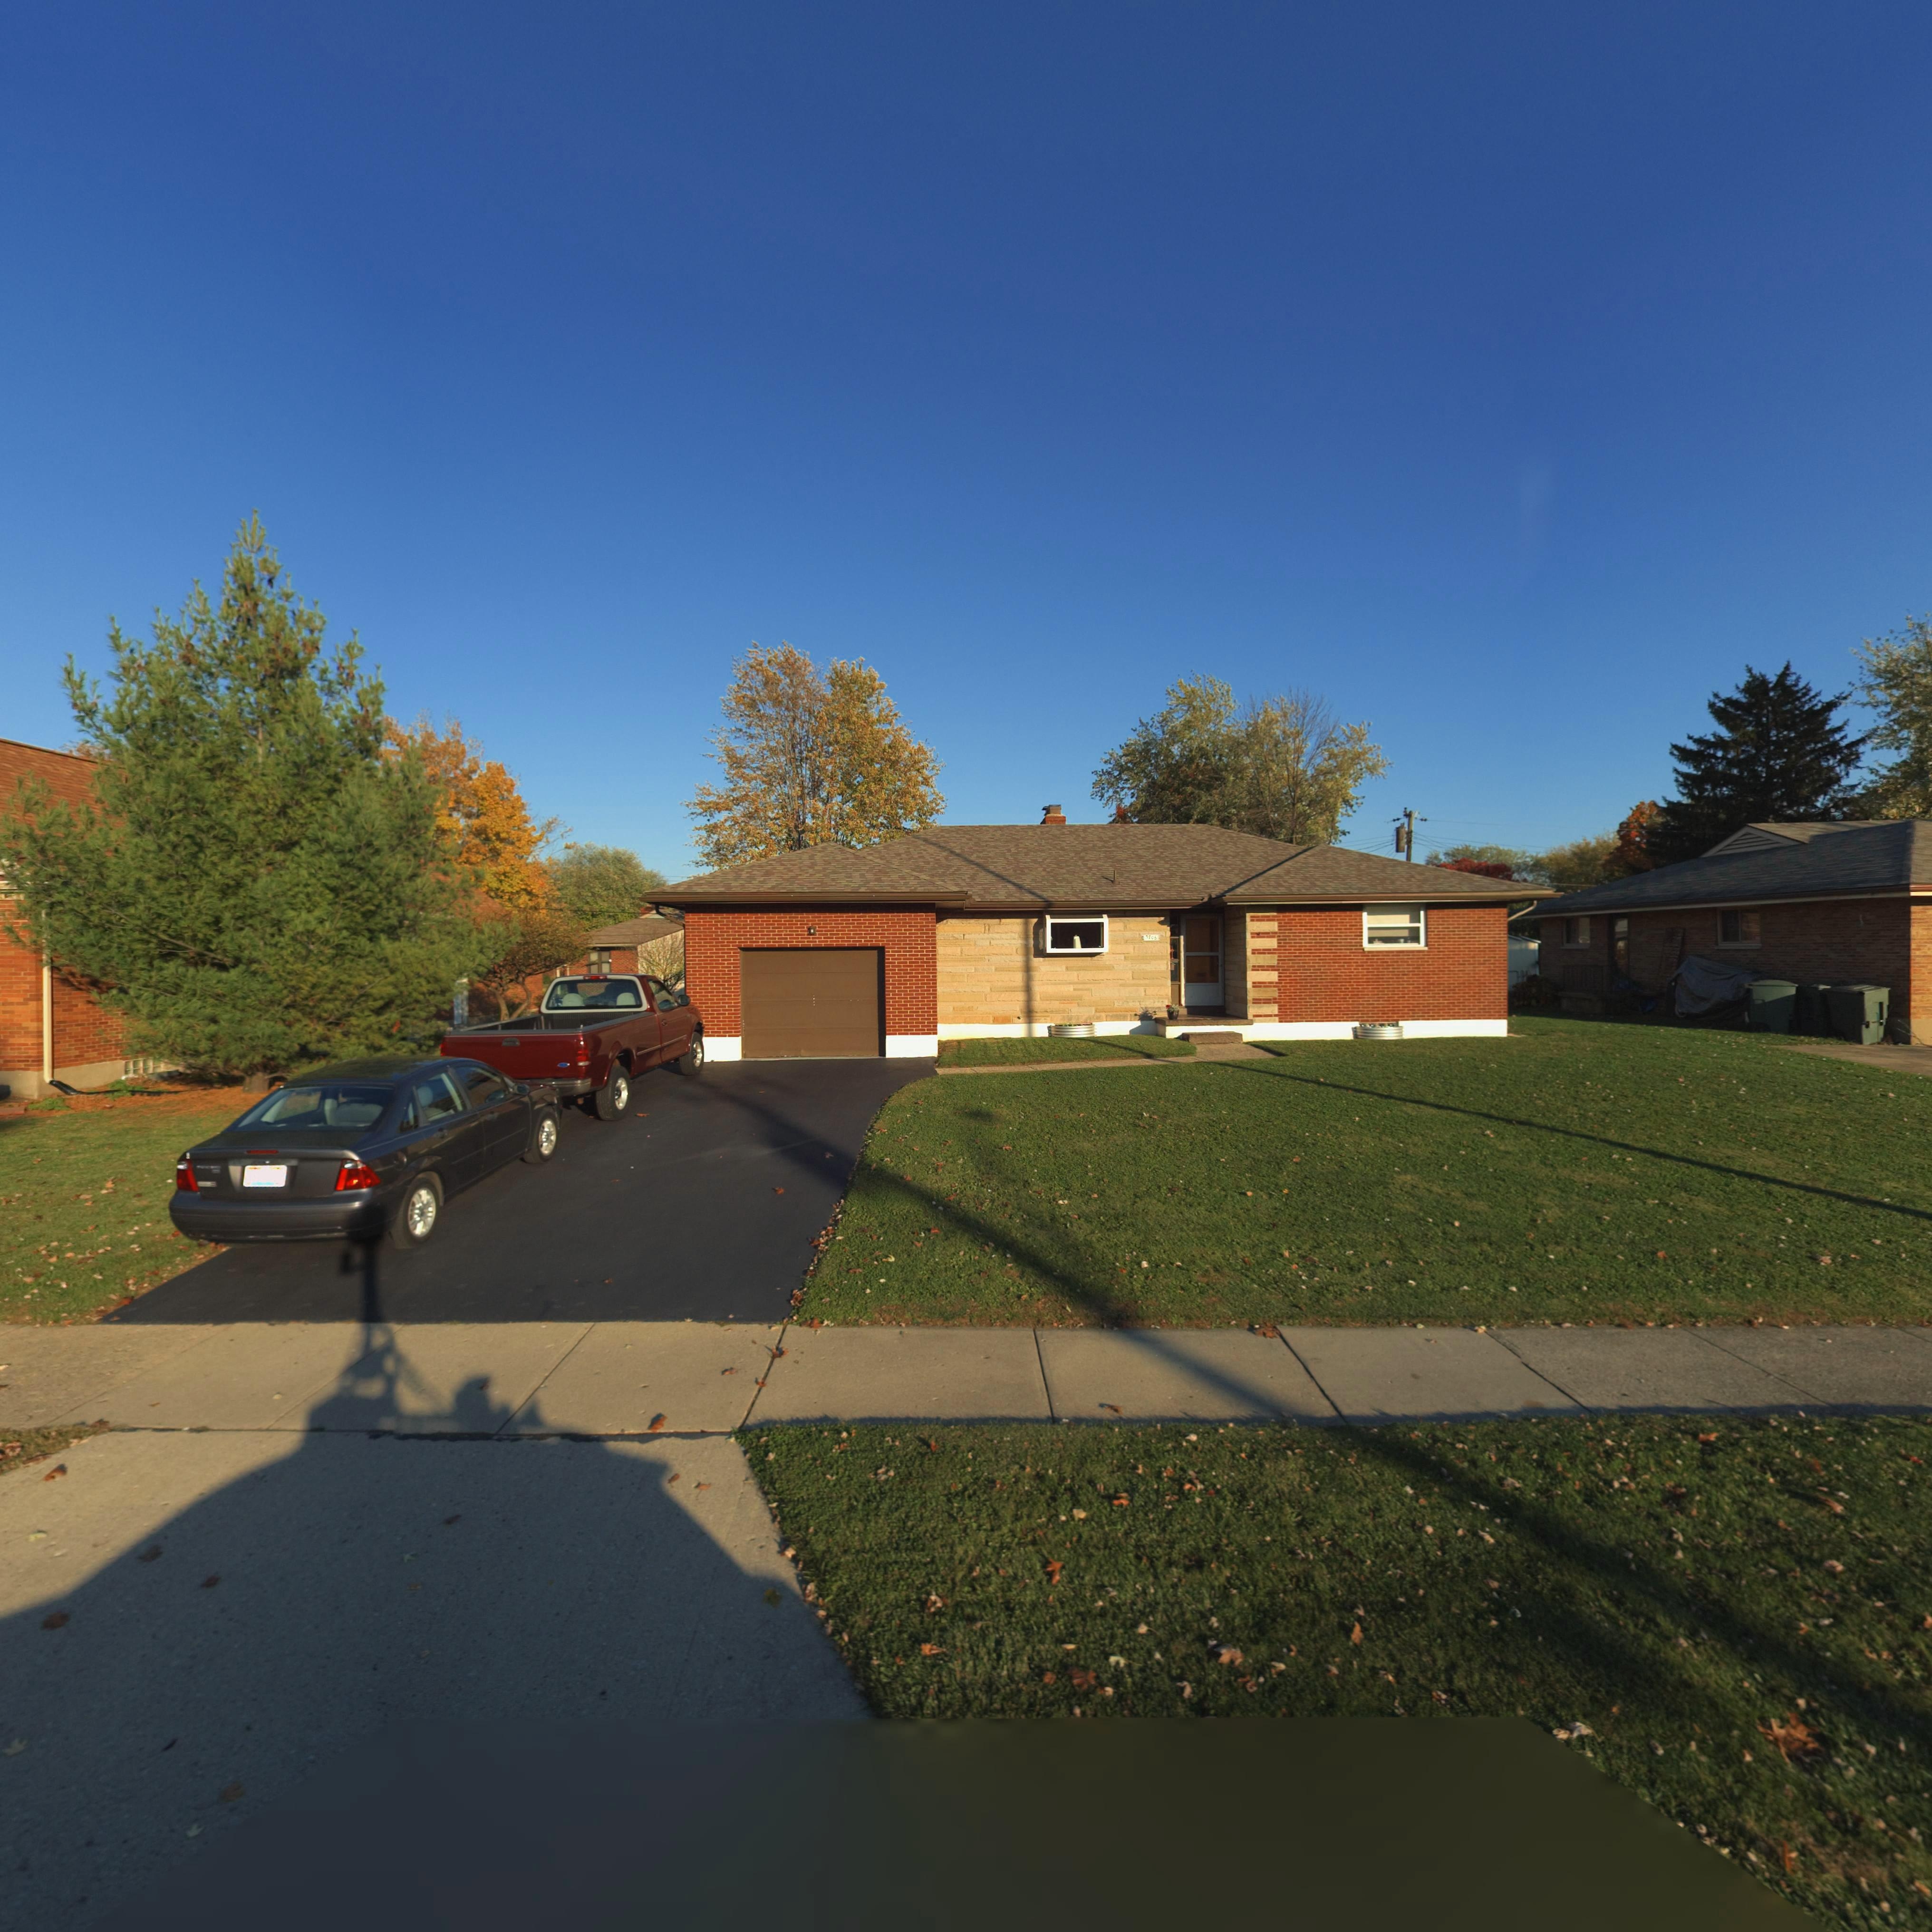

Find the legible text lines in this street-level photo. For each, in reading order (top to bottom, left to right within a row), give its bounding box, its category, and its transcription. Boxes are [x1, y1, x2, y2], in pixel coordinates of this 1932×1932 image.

[1145, 935, 1158, 940] StreetNumber: 3706